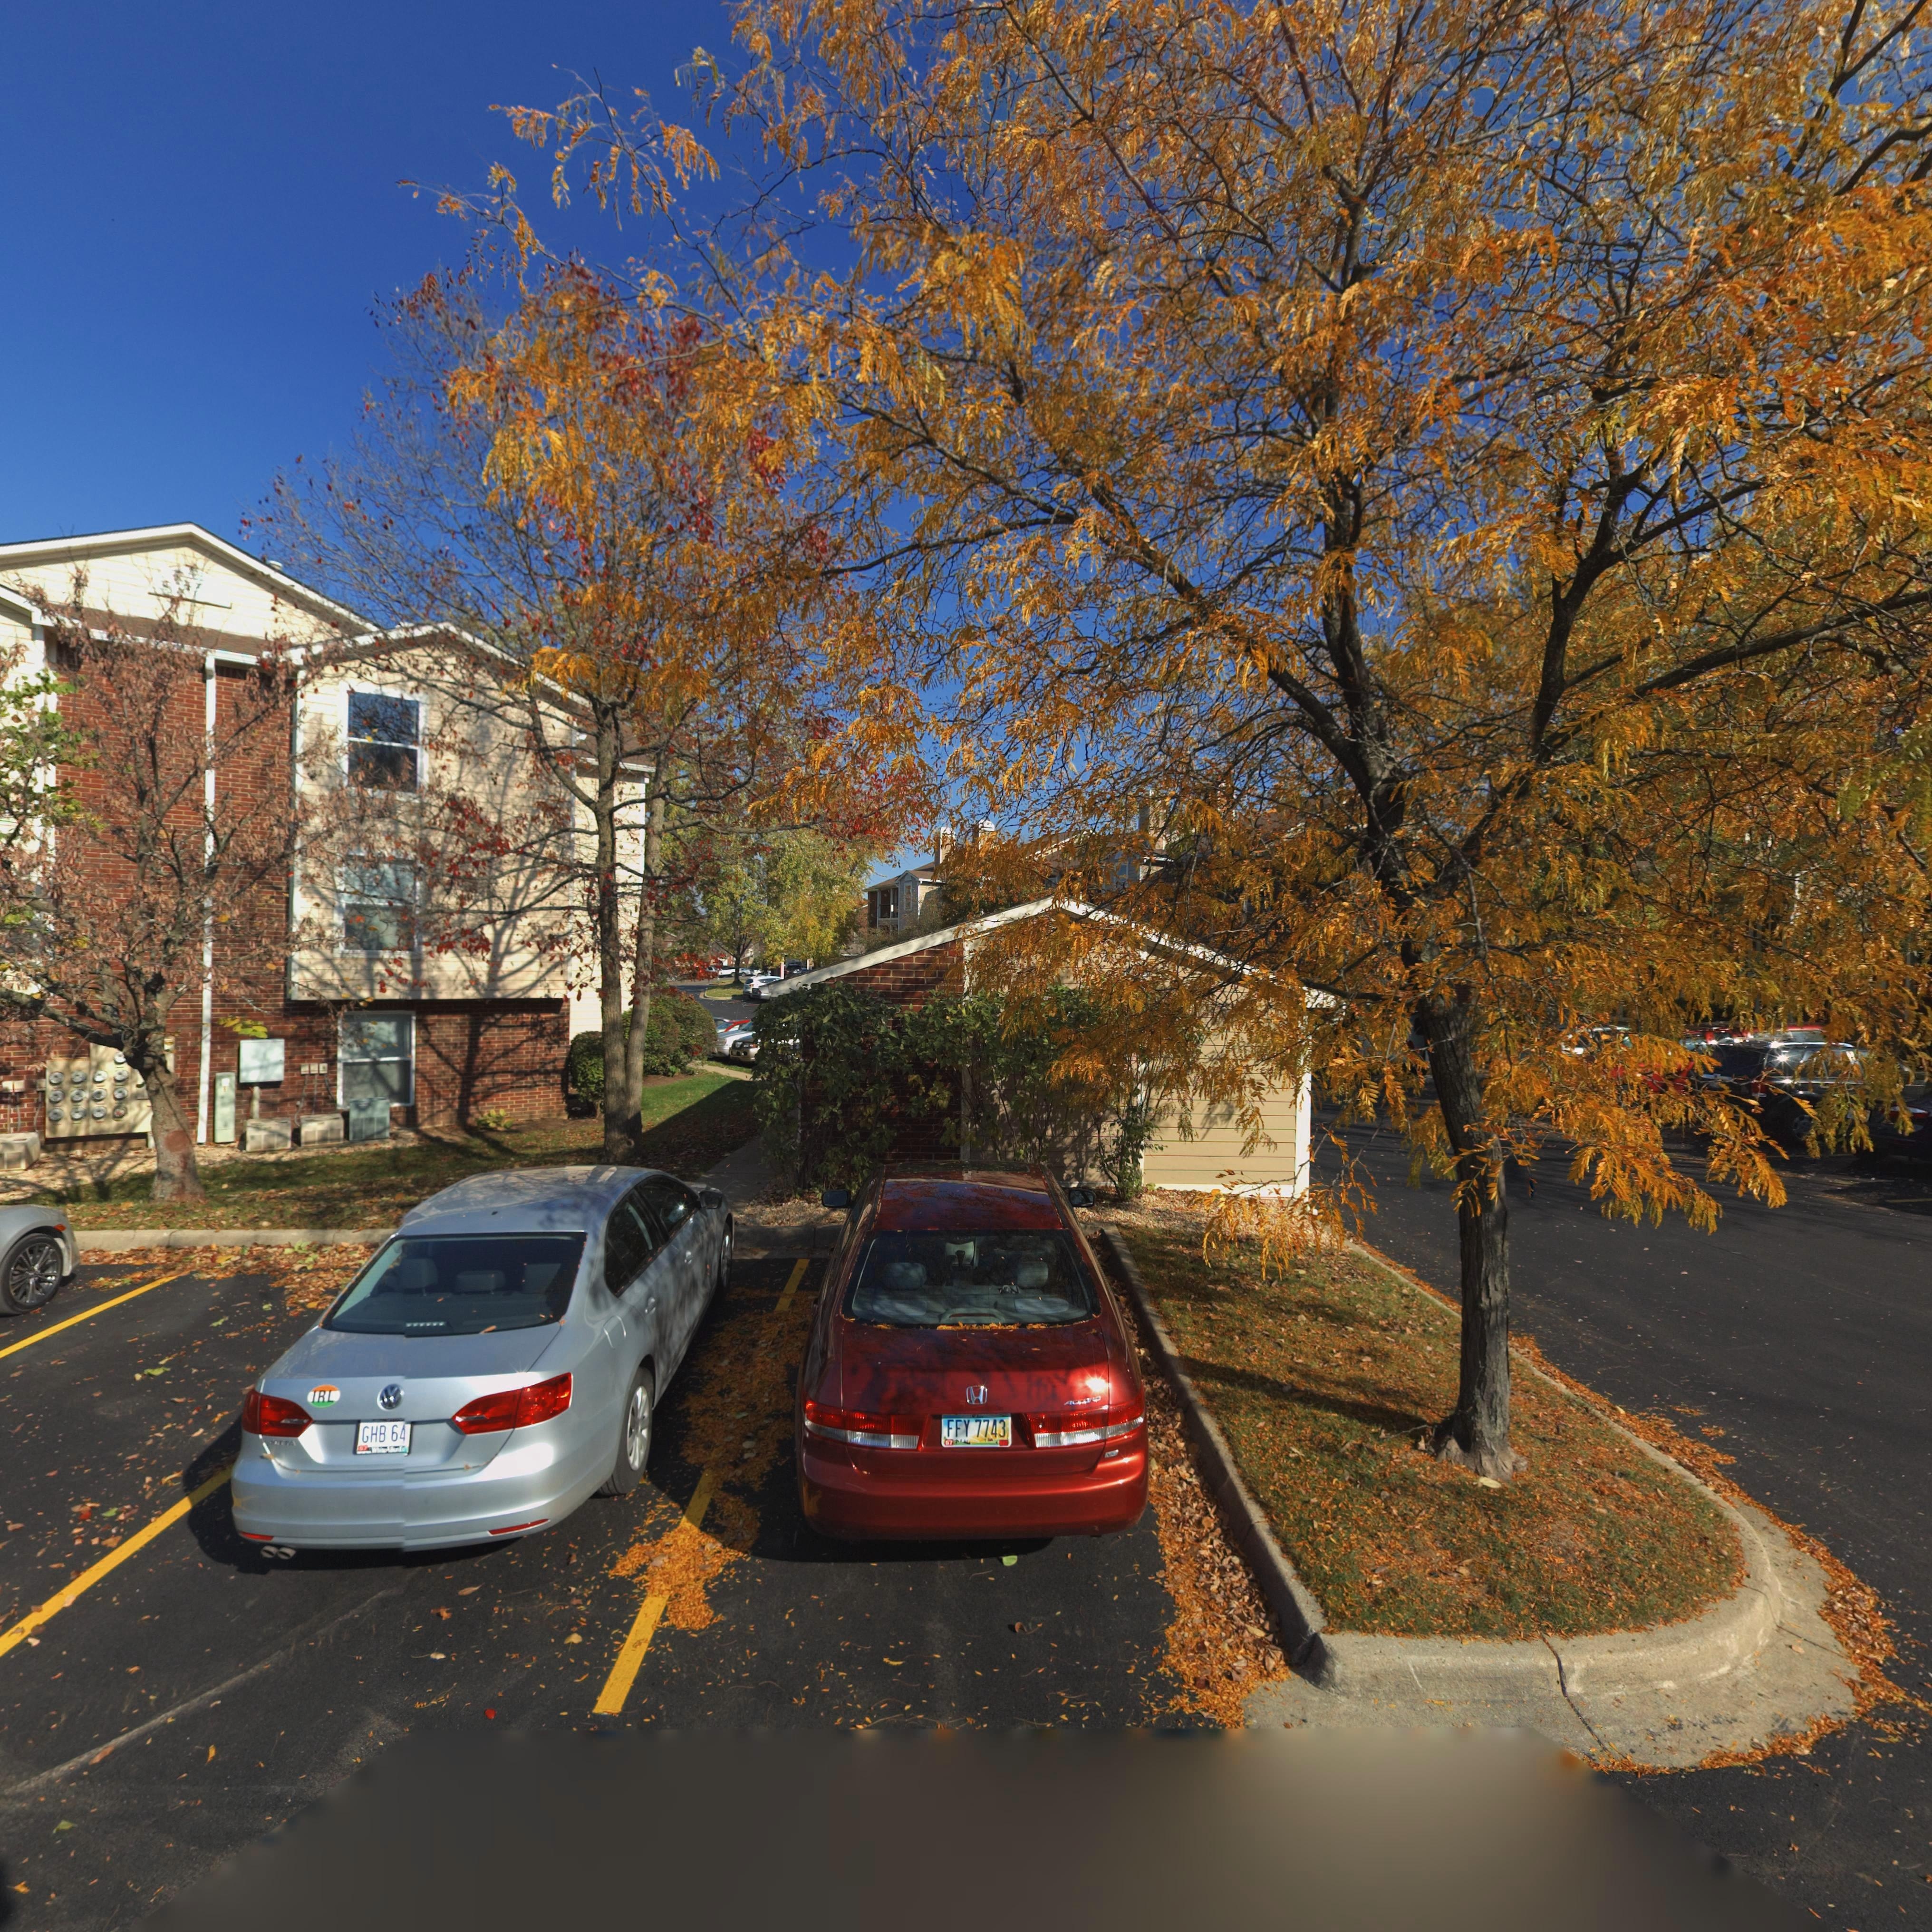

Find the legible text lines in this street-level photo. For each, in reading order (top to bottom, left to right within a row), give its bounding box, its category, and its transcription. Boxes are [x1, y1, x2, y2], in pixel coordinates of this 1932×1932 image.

[311, 1389, 335, 1404] None: IRL
[361, 1423, 399, 1444] None: GHB 6
[947, 1418, 1006, 1438] None: FFY 7743